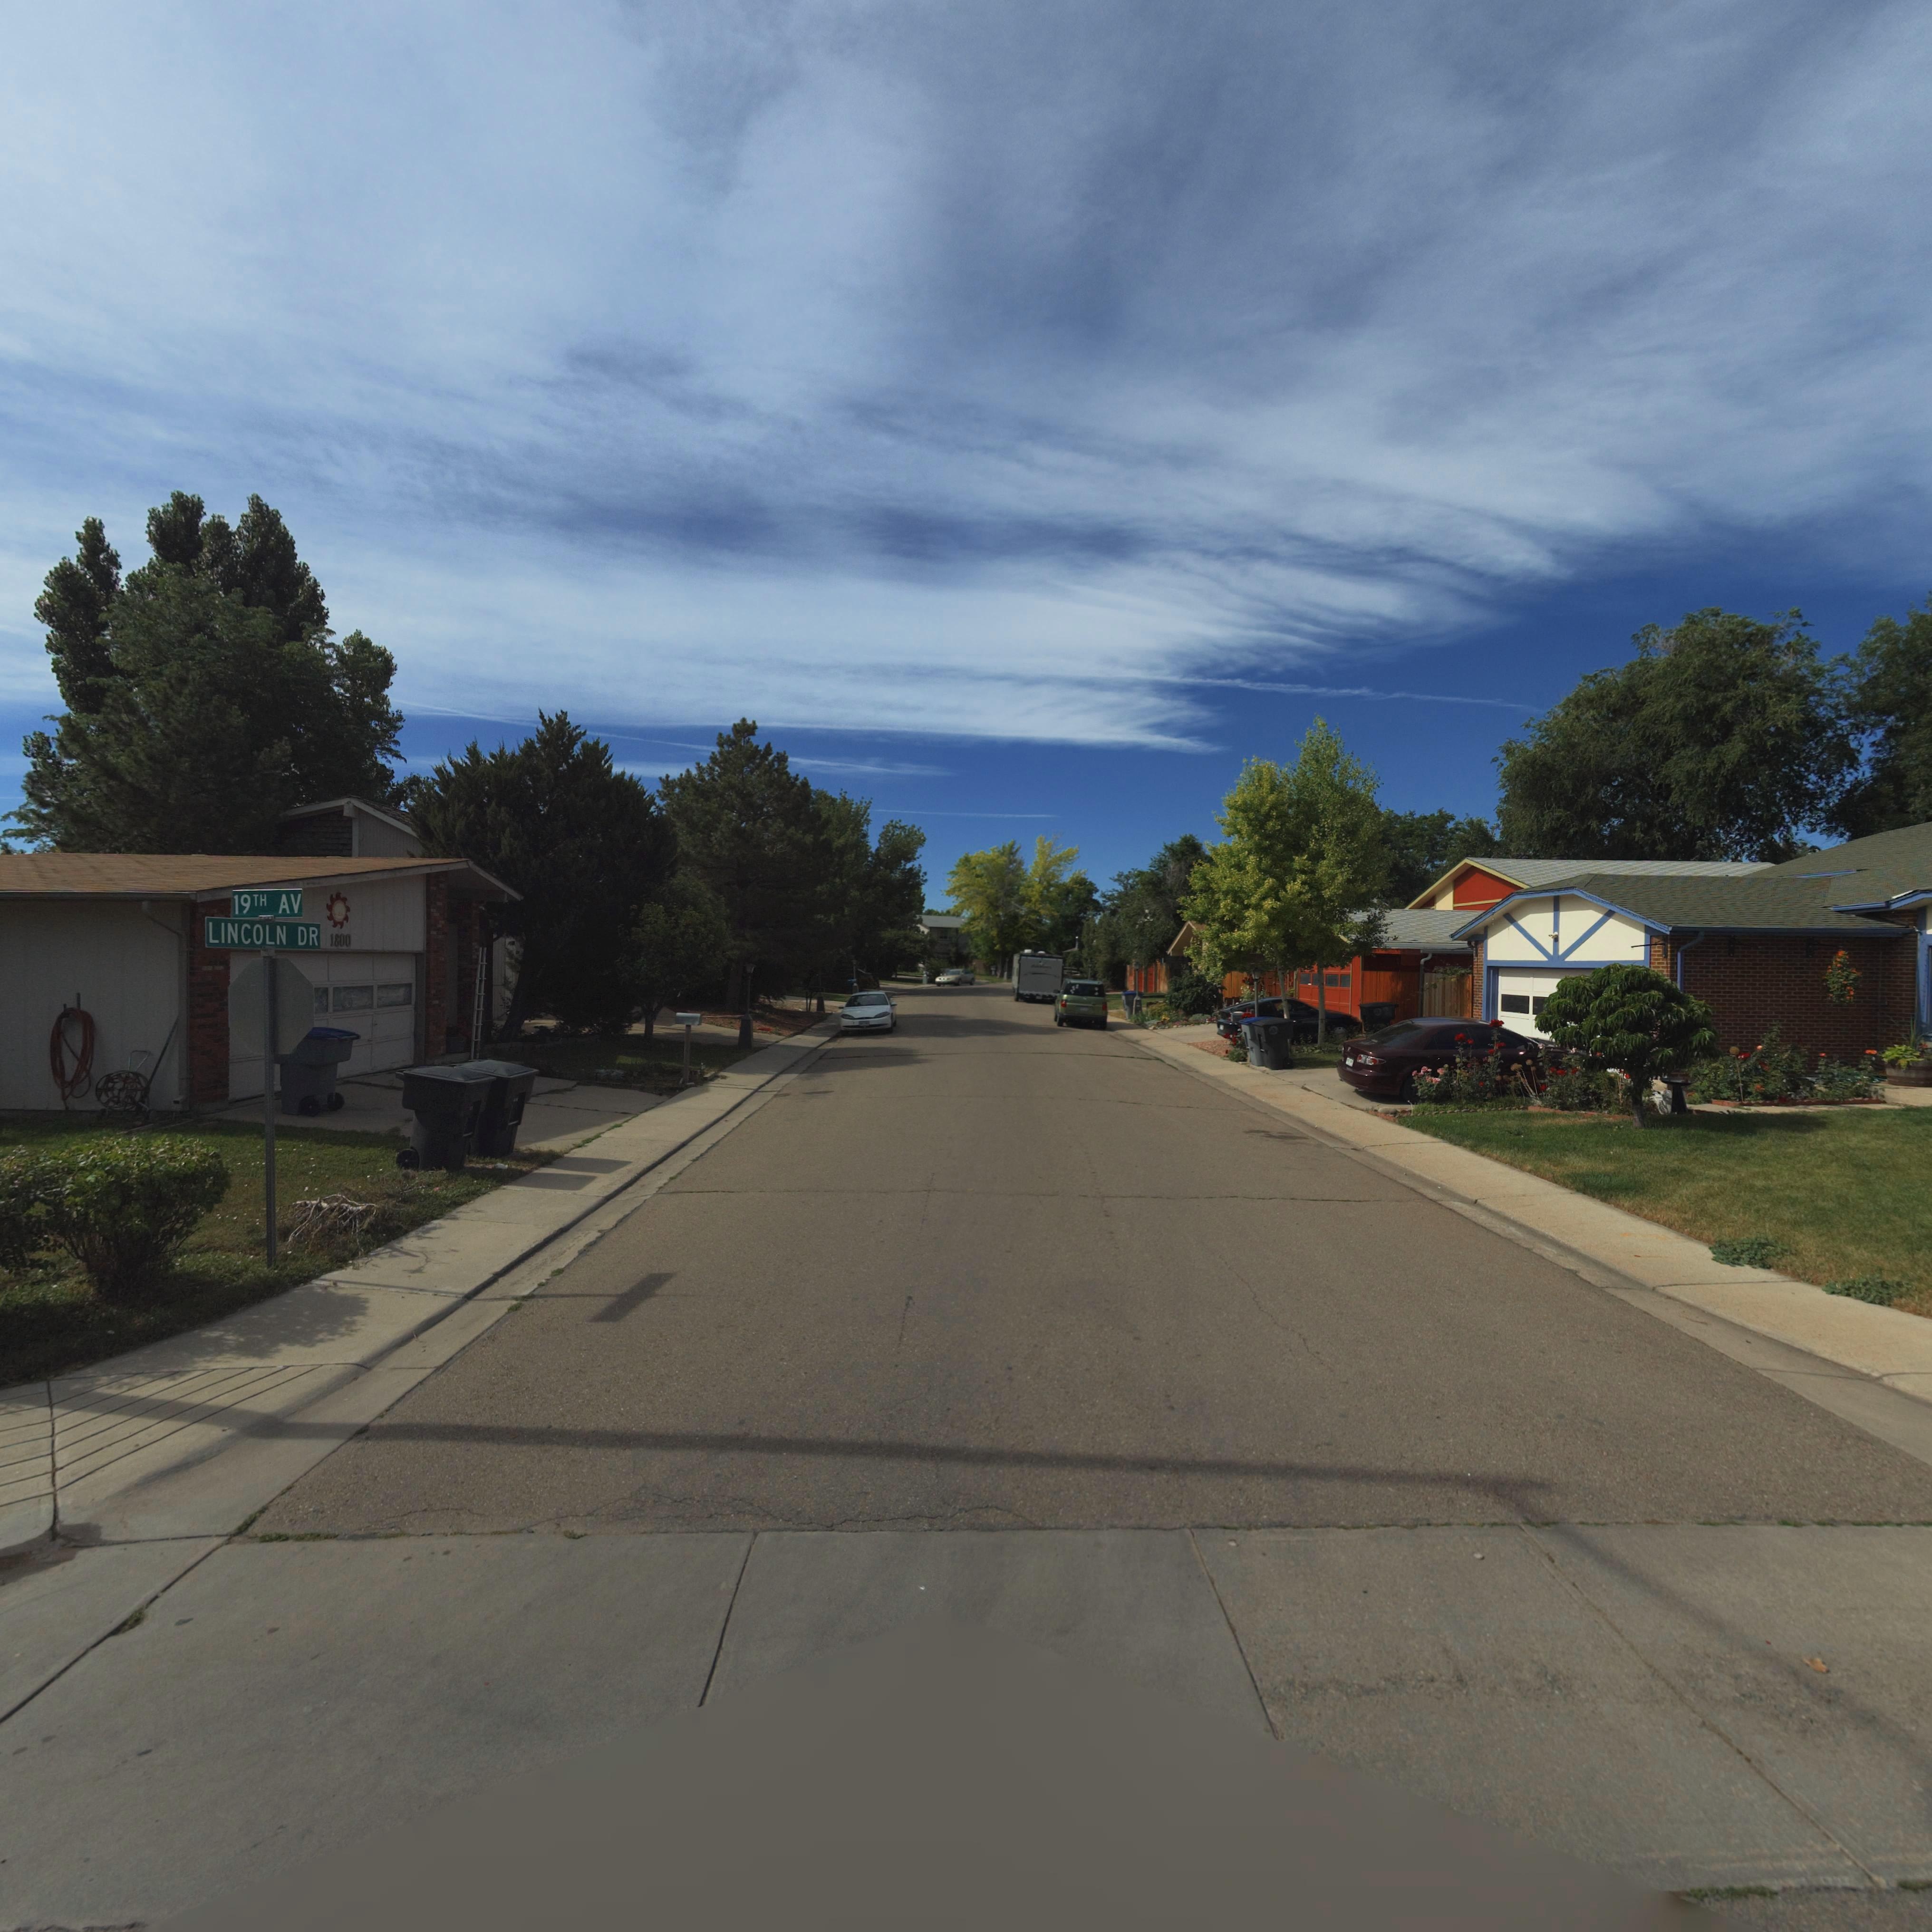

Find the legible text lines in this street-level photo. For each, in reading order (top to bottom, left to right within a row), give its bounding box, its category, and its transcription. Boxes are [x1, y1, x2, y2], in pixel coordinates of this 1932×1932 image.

[233, 893, 301, 915] StreetName: 19TH AV
[208, 921, 319, 946] StreetName: LINCOLN DR
[329, 933, 351, 947] StreetNumber: 1800